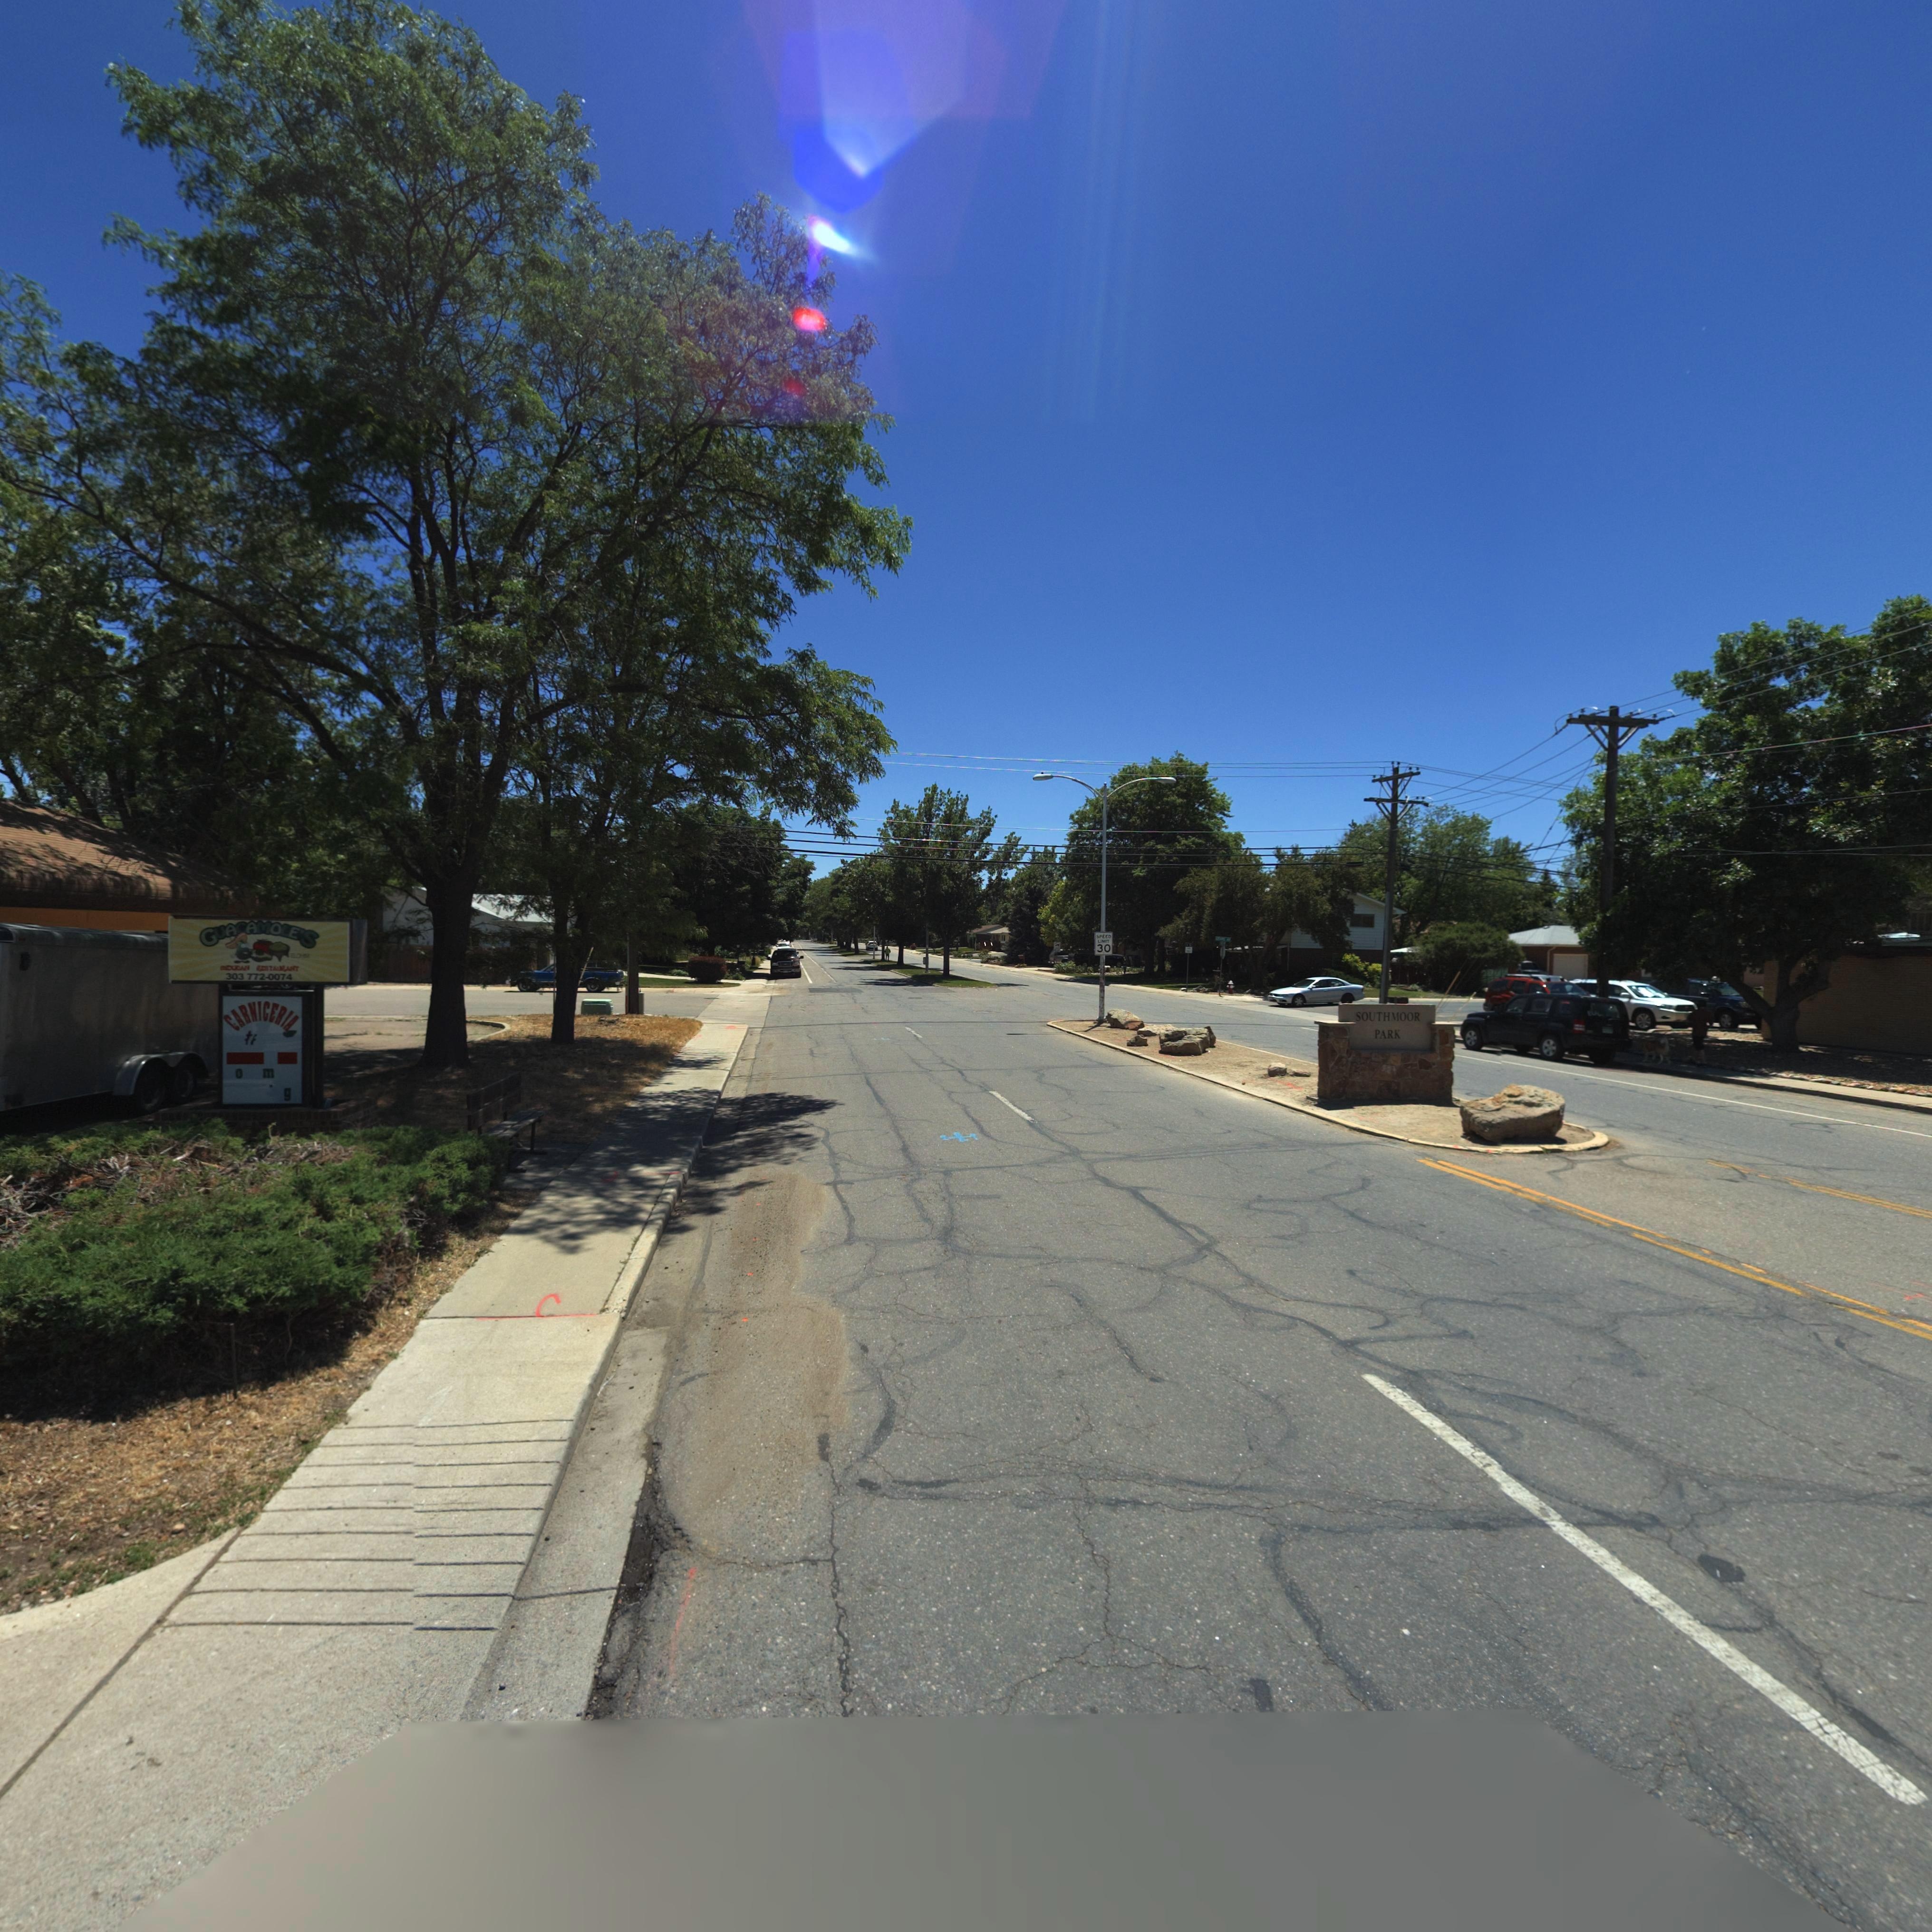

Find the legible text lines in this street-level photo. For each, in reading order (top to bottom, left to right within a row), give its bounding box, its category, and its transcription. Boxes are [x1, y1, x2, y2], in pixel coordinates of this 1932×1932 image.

[198, 919, 320, 949] BusinessName: GUACAMOLE'S